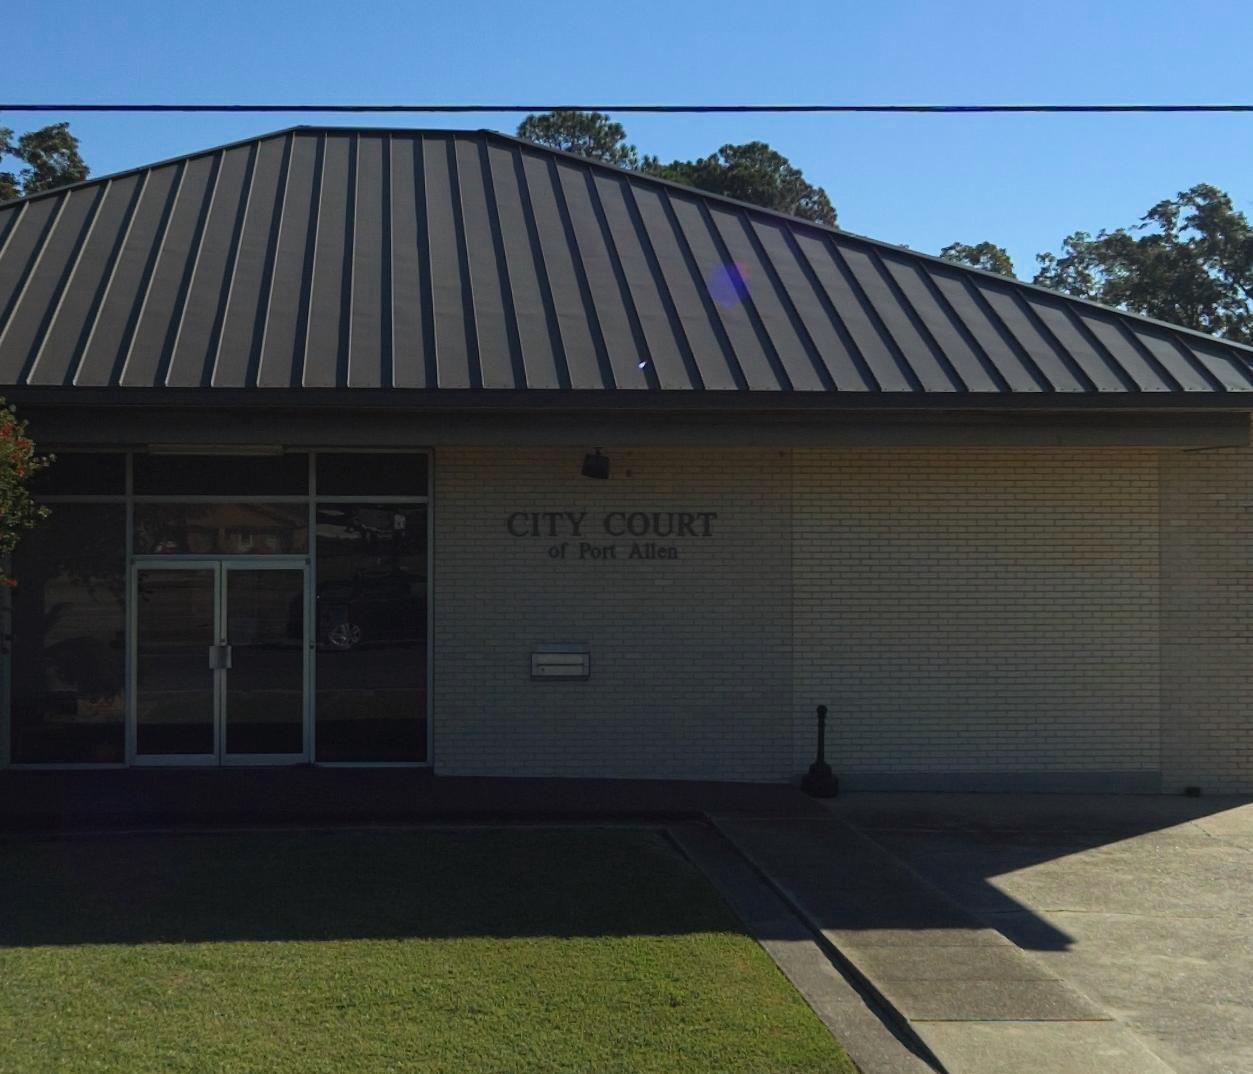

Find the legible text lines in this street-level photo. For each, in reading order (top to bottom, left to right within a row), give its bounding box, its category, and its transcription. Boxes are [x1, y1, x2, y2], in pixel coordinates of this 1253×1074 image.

[506, 510, 719, 537] BusinessName: CITY COURT
[547, 541, 680, 560] BusinessName: of Port Allen